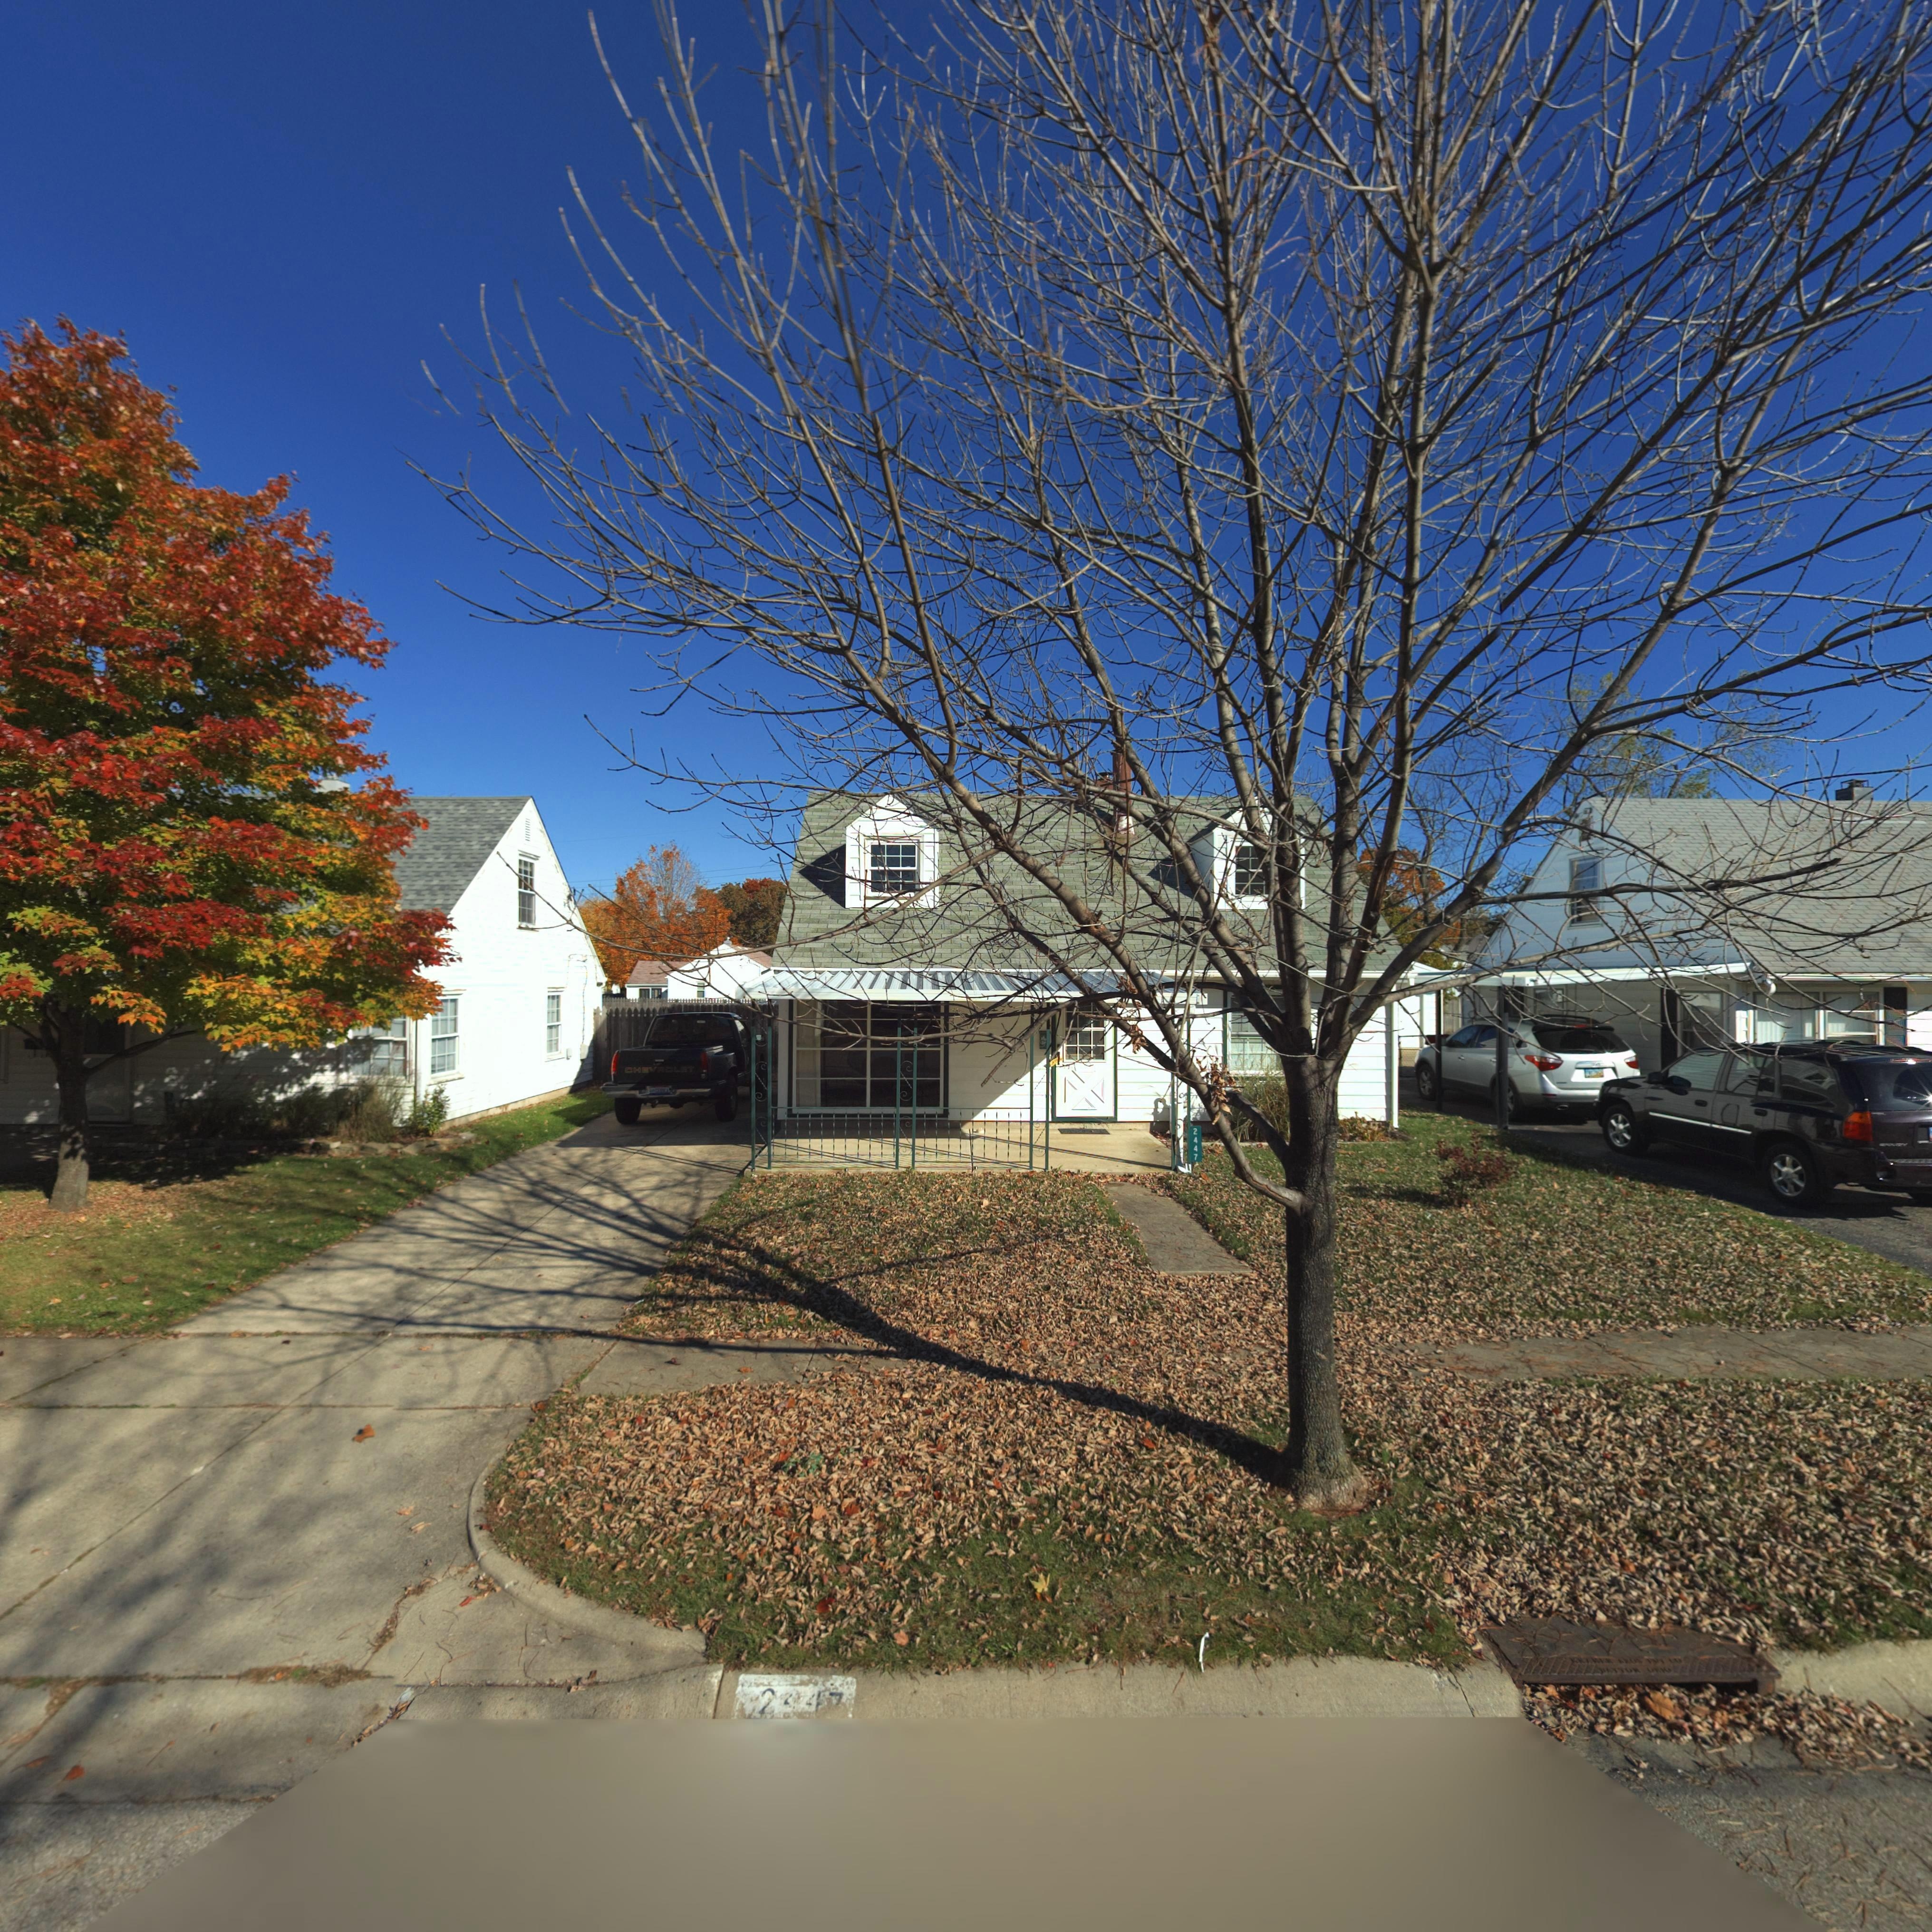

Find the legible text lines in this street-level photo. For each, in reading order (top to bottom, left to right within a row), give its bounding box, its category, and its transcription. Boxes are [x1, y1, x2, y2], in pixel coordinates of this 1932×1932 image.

[1192, 1126, 1199, 1161] StreetNumber: 2447
[757, 1686, 777, 1716] StreetNumber: 2